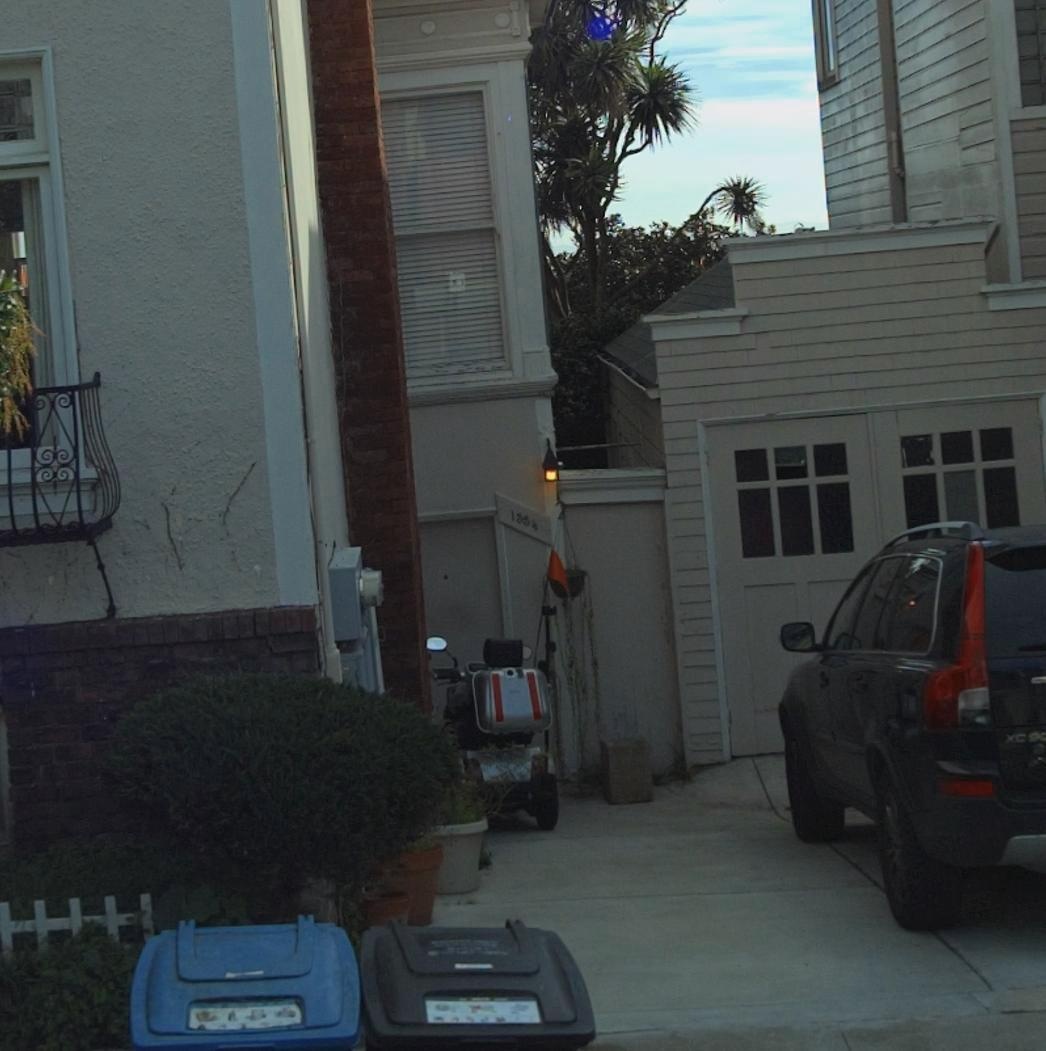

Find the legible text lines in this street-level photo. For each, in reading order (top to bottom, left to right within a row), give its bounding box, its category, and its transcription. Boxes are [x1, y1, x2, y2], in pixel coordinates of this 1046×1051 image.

[510, 509, 540, 534] StreetNumber: 1334
[1003, 731, 1044, 745] None: XC9*